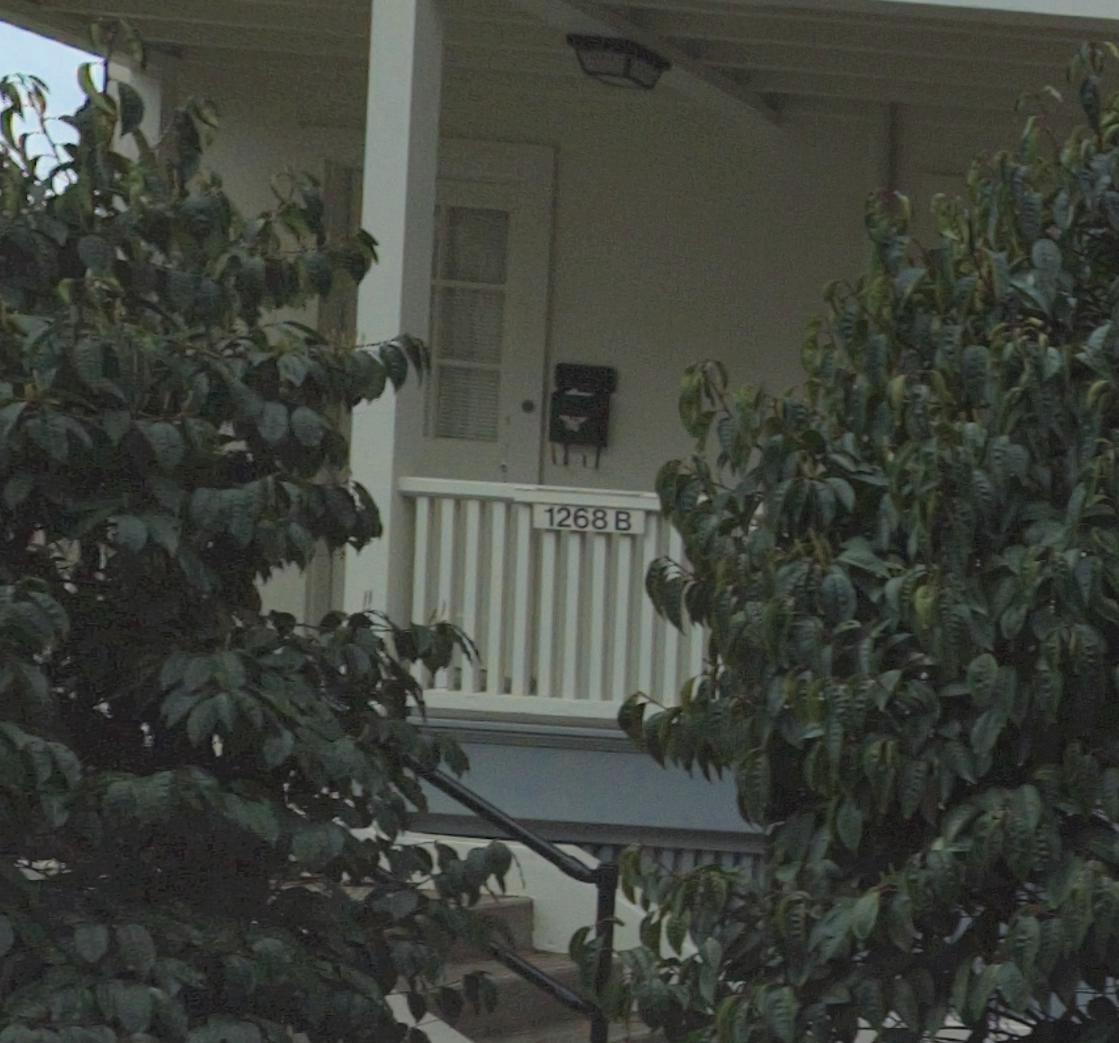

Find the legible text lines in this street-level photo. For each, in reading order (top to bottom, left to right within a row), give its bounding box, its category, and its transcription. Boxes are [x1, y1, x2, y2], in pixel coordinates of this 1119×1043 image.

[544, 505, 634, 533] StreetNumber: 1268 B